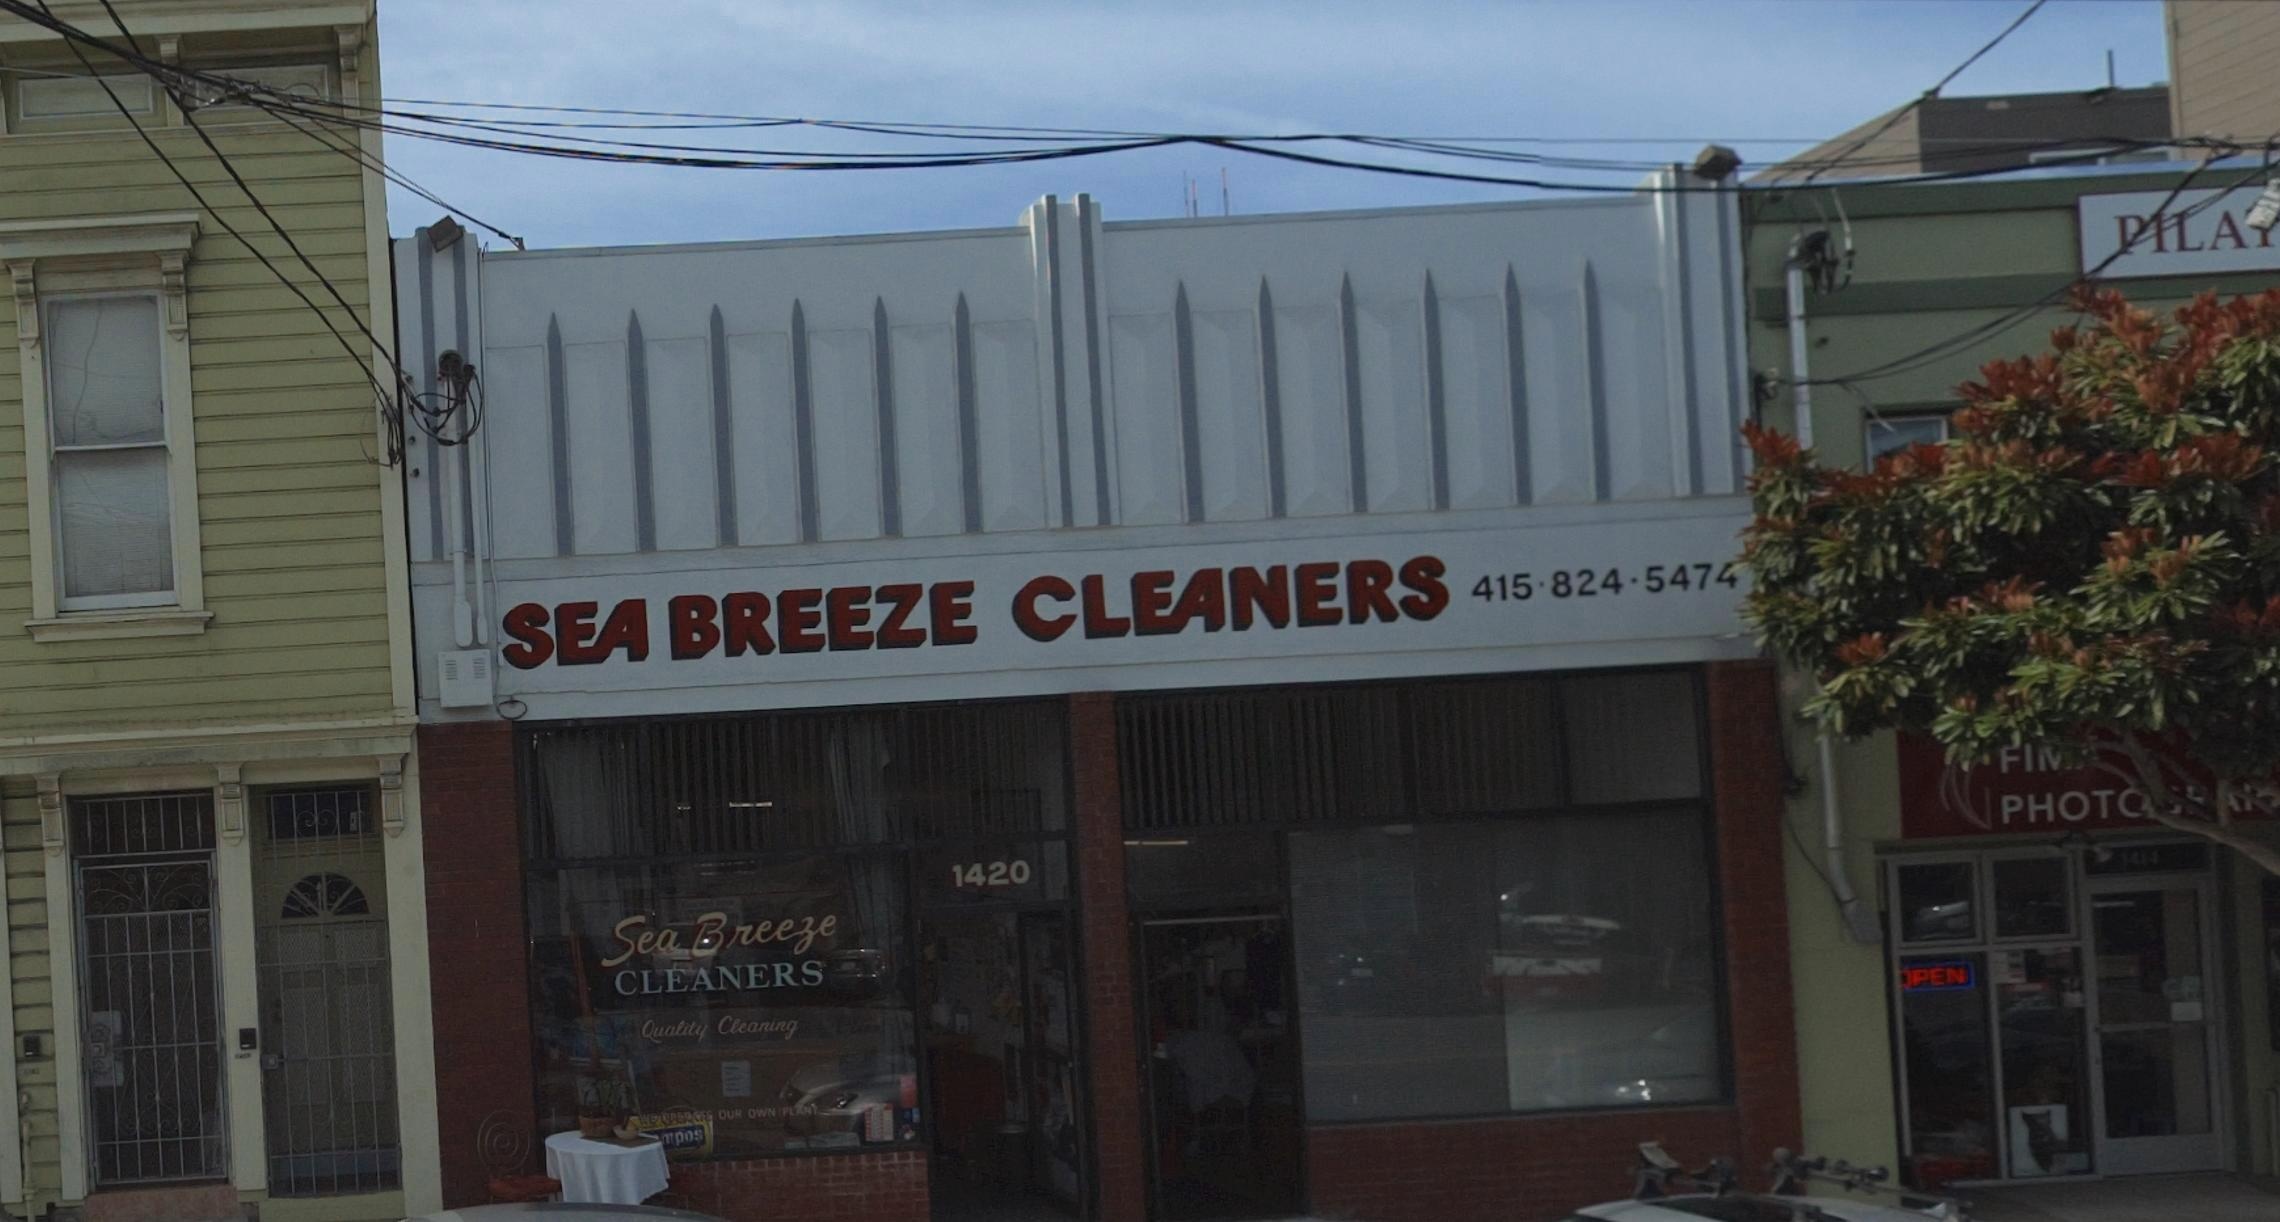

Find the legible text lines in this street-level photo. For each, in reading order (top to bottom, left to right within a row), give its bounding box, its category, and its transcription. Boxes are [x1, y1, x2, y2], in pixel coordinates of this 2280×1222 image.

[2113, 208, 2253, 256] None: *ILA
[1471, 561, 1739, 604] None: 415-824-5474
[501, 554, 1453, 672] BusinessName: SEA BREEZE CLEANERS
[1998, 740, 2037, 776] BusinessName: FI
[1999, 787, 2115, 826] BusinessName: PHOT
[948, 857, 1034, 889] StreetNumber: 1420
[2115, 849, 2164, 872] StreetNumber: 1414
[596, 910, 836, 975] BusinessName: Sea Breeze
[613, 959, 827, 1000] BusinessName: CLEANERS
[1911, 964, 1968, 988] None: PEN
[637, 1013, 802, 1043] None: Quality Cleaning
[716, 1103, 824, 1122] None: OUR OWN PLANT
[674, 1126, 705, 1147] None: pos